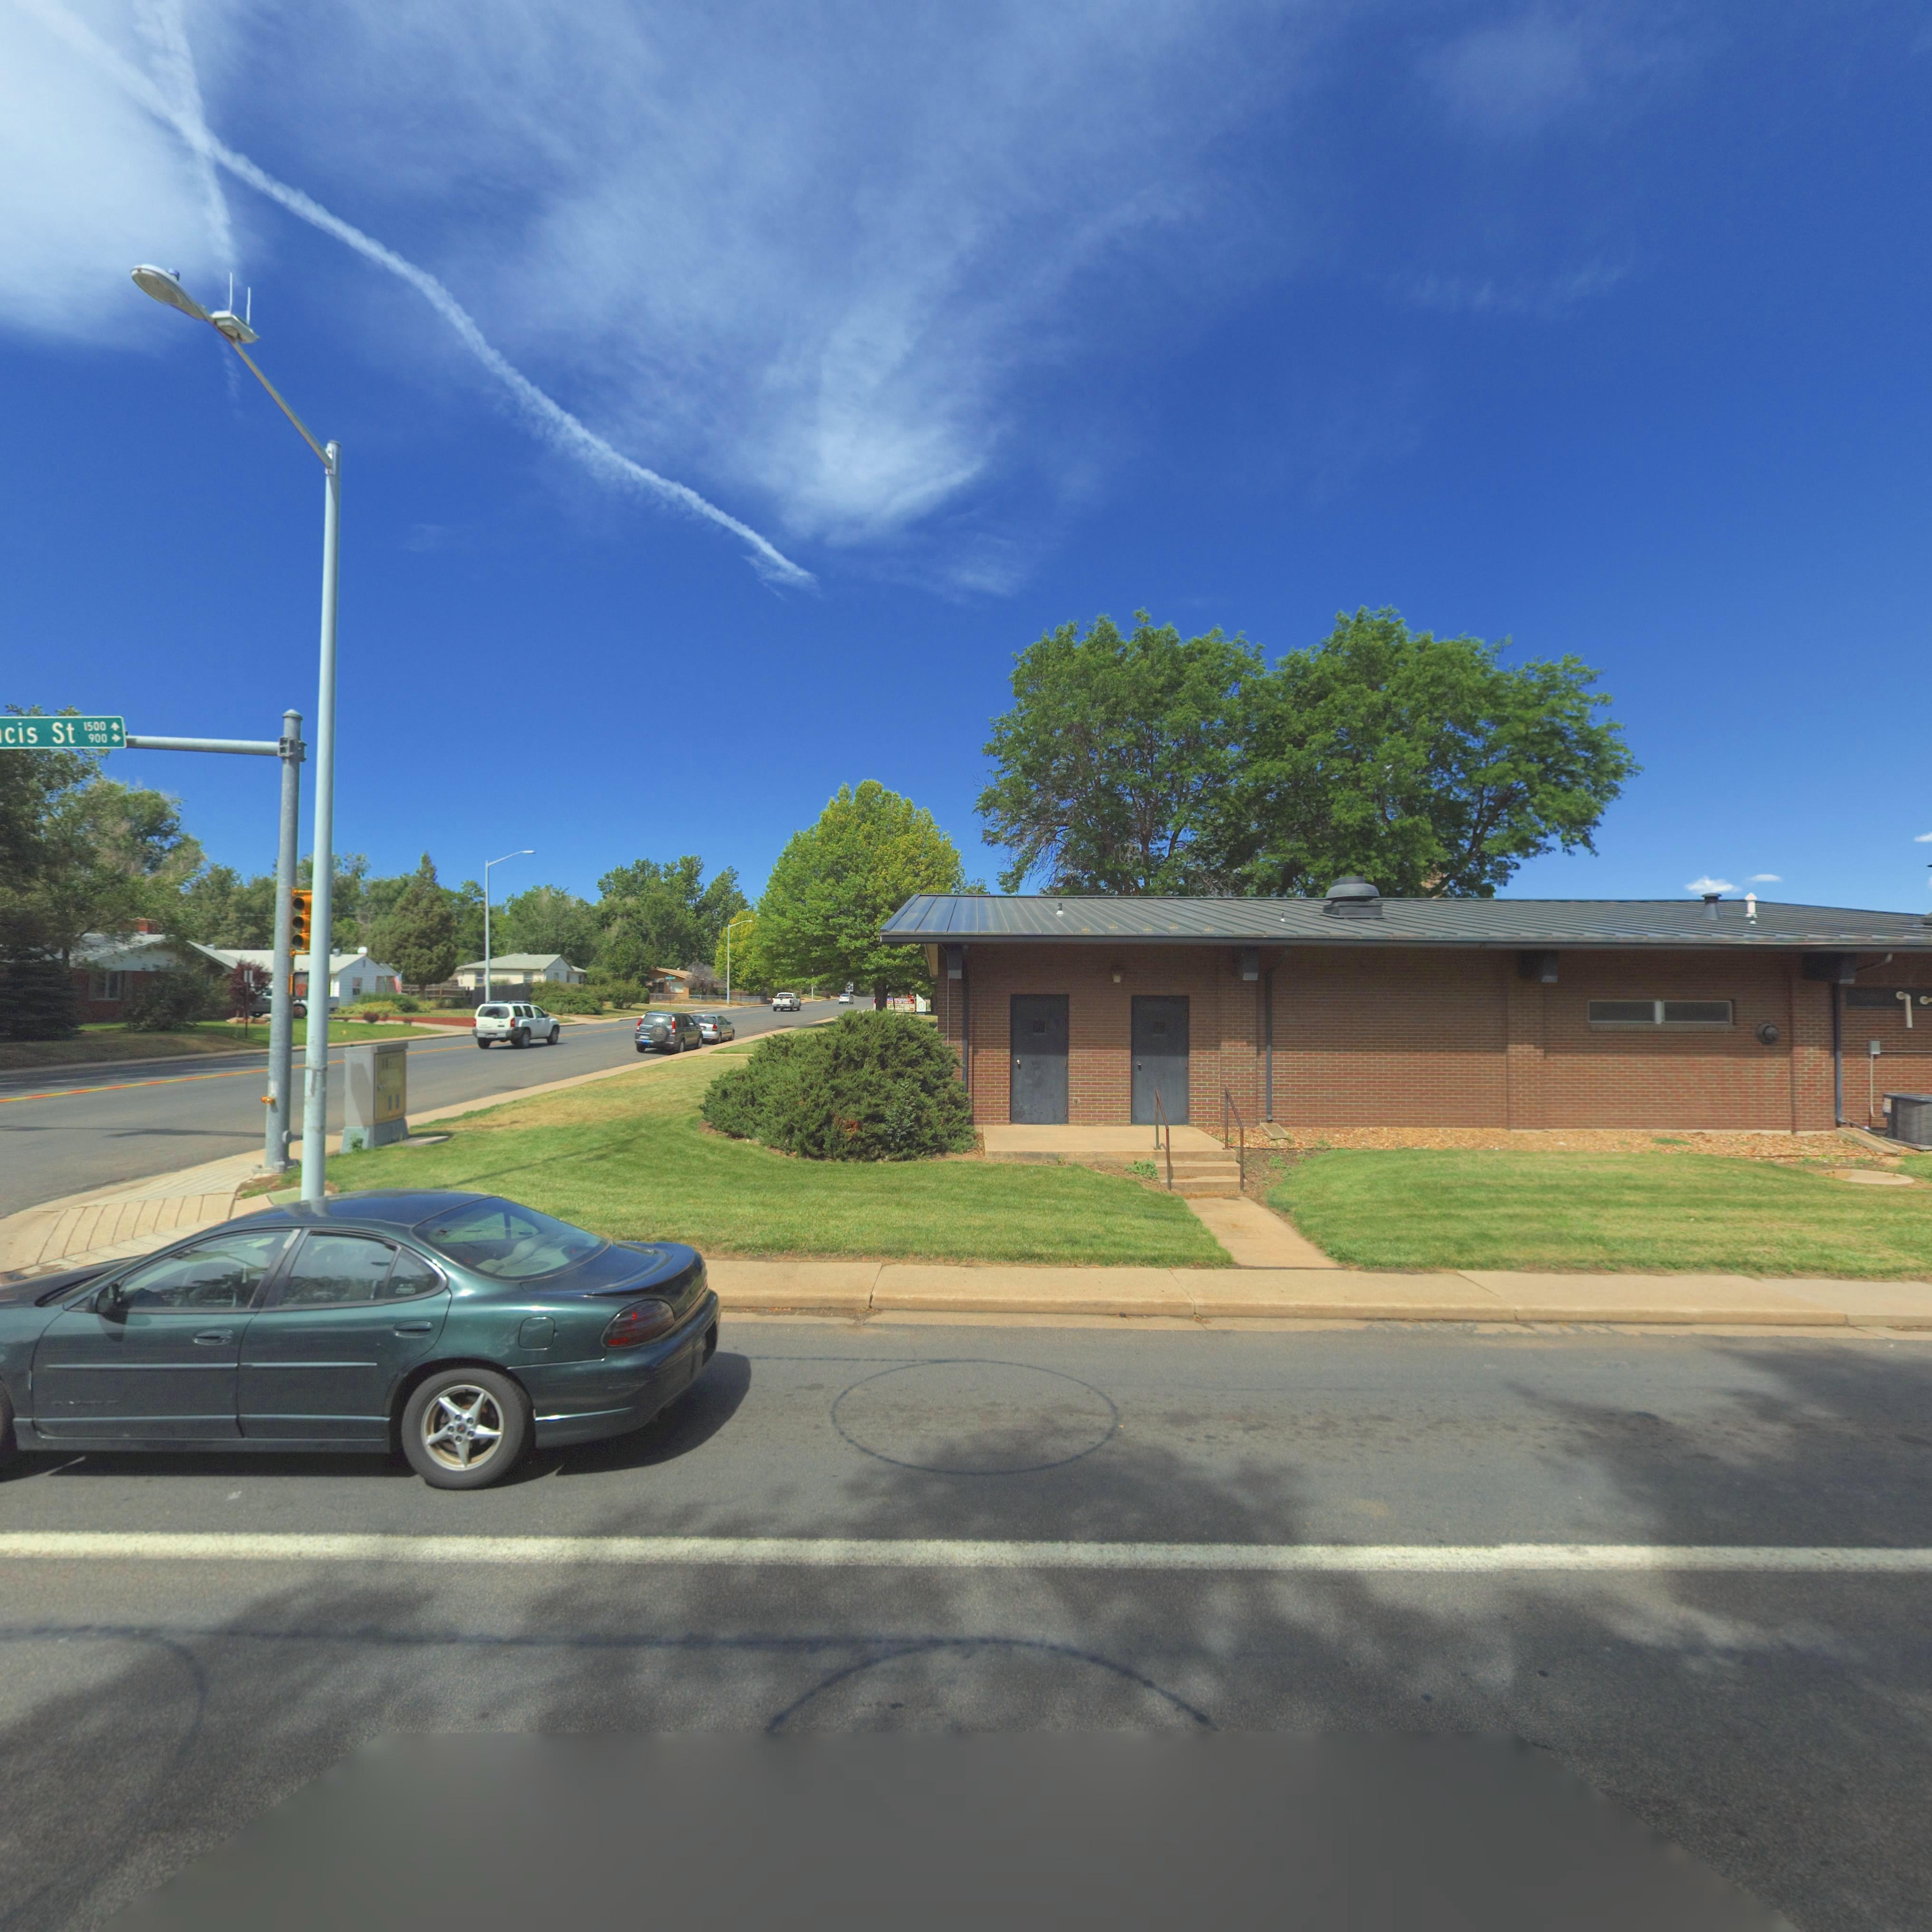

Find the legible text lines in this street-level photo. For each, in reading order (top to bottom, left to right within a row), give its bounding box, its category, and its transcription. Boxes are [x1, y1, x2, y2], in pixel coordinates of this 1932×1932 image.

[83, 721, 106, 732] StreetNumberRange: 1500
[3, 721, 76, 744] StreetName: cis St
[87, 733, 121, 743] StreetNumberRange: 900->